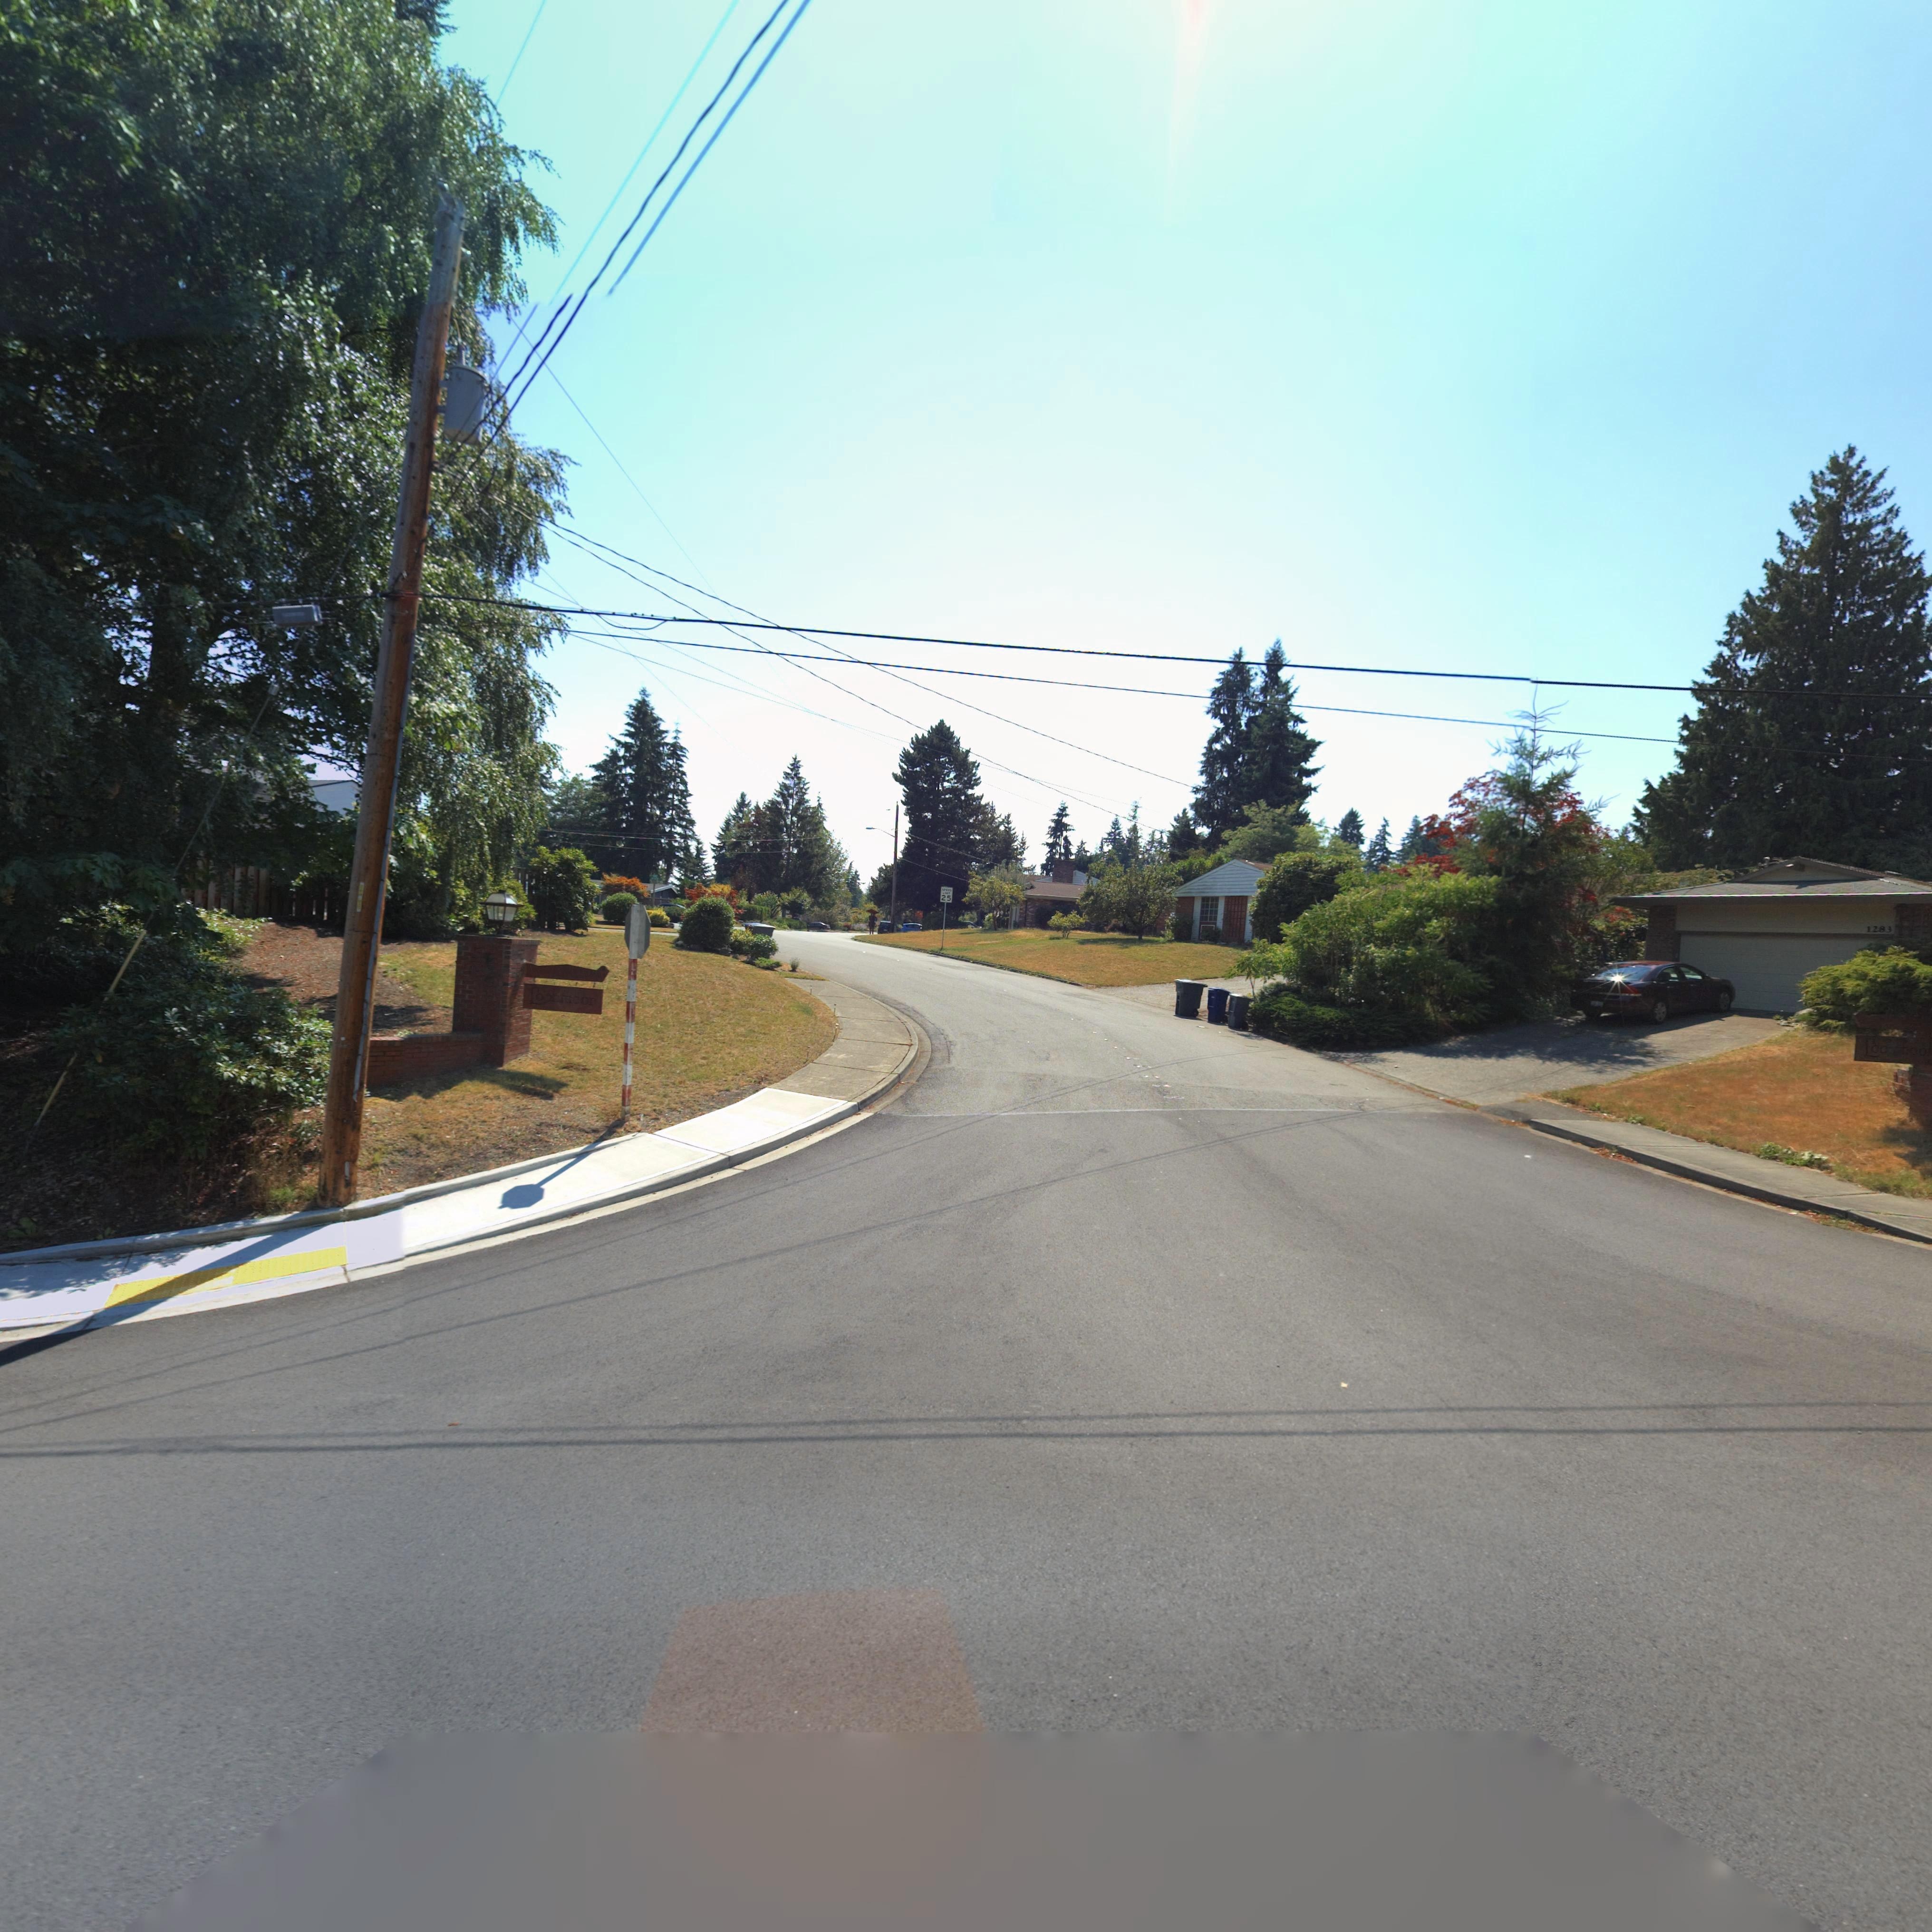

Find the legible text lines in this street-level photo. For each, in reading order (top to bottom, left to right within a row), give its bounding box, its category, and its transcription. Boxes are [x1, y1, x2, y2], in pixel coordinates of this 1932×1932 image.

[1867, 925, 1892, 933] StreetNumber: 1283